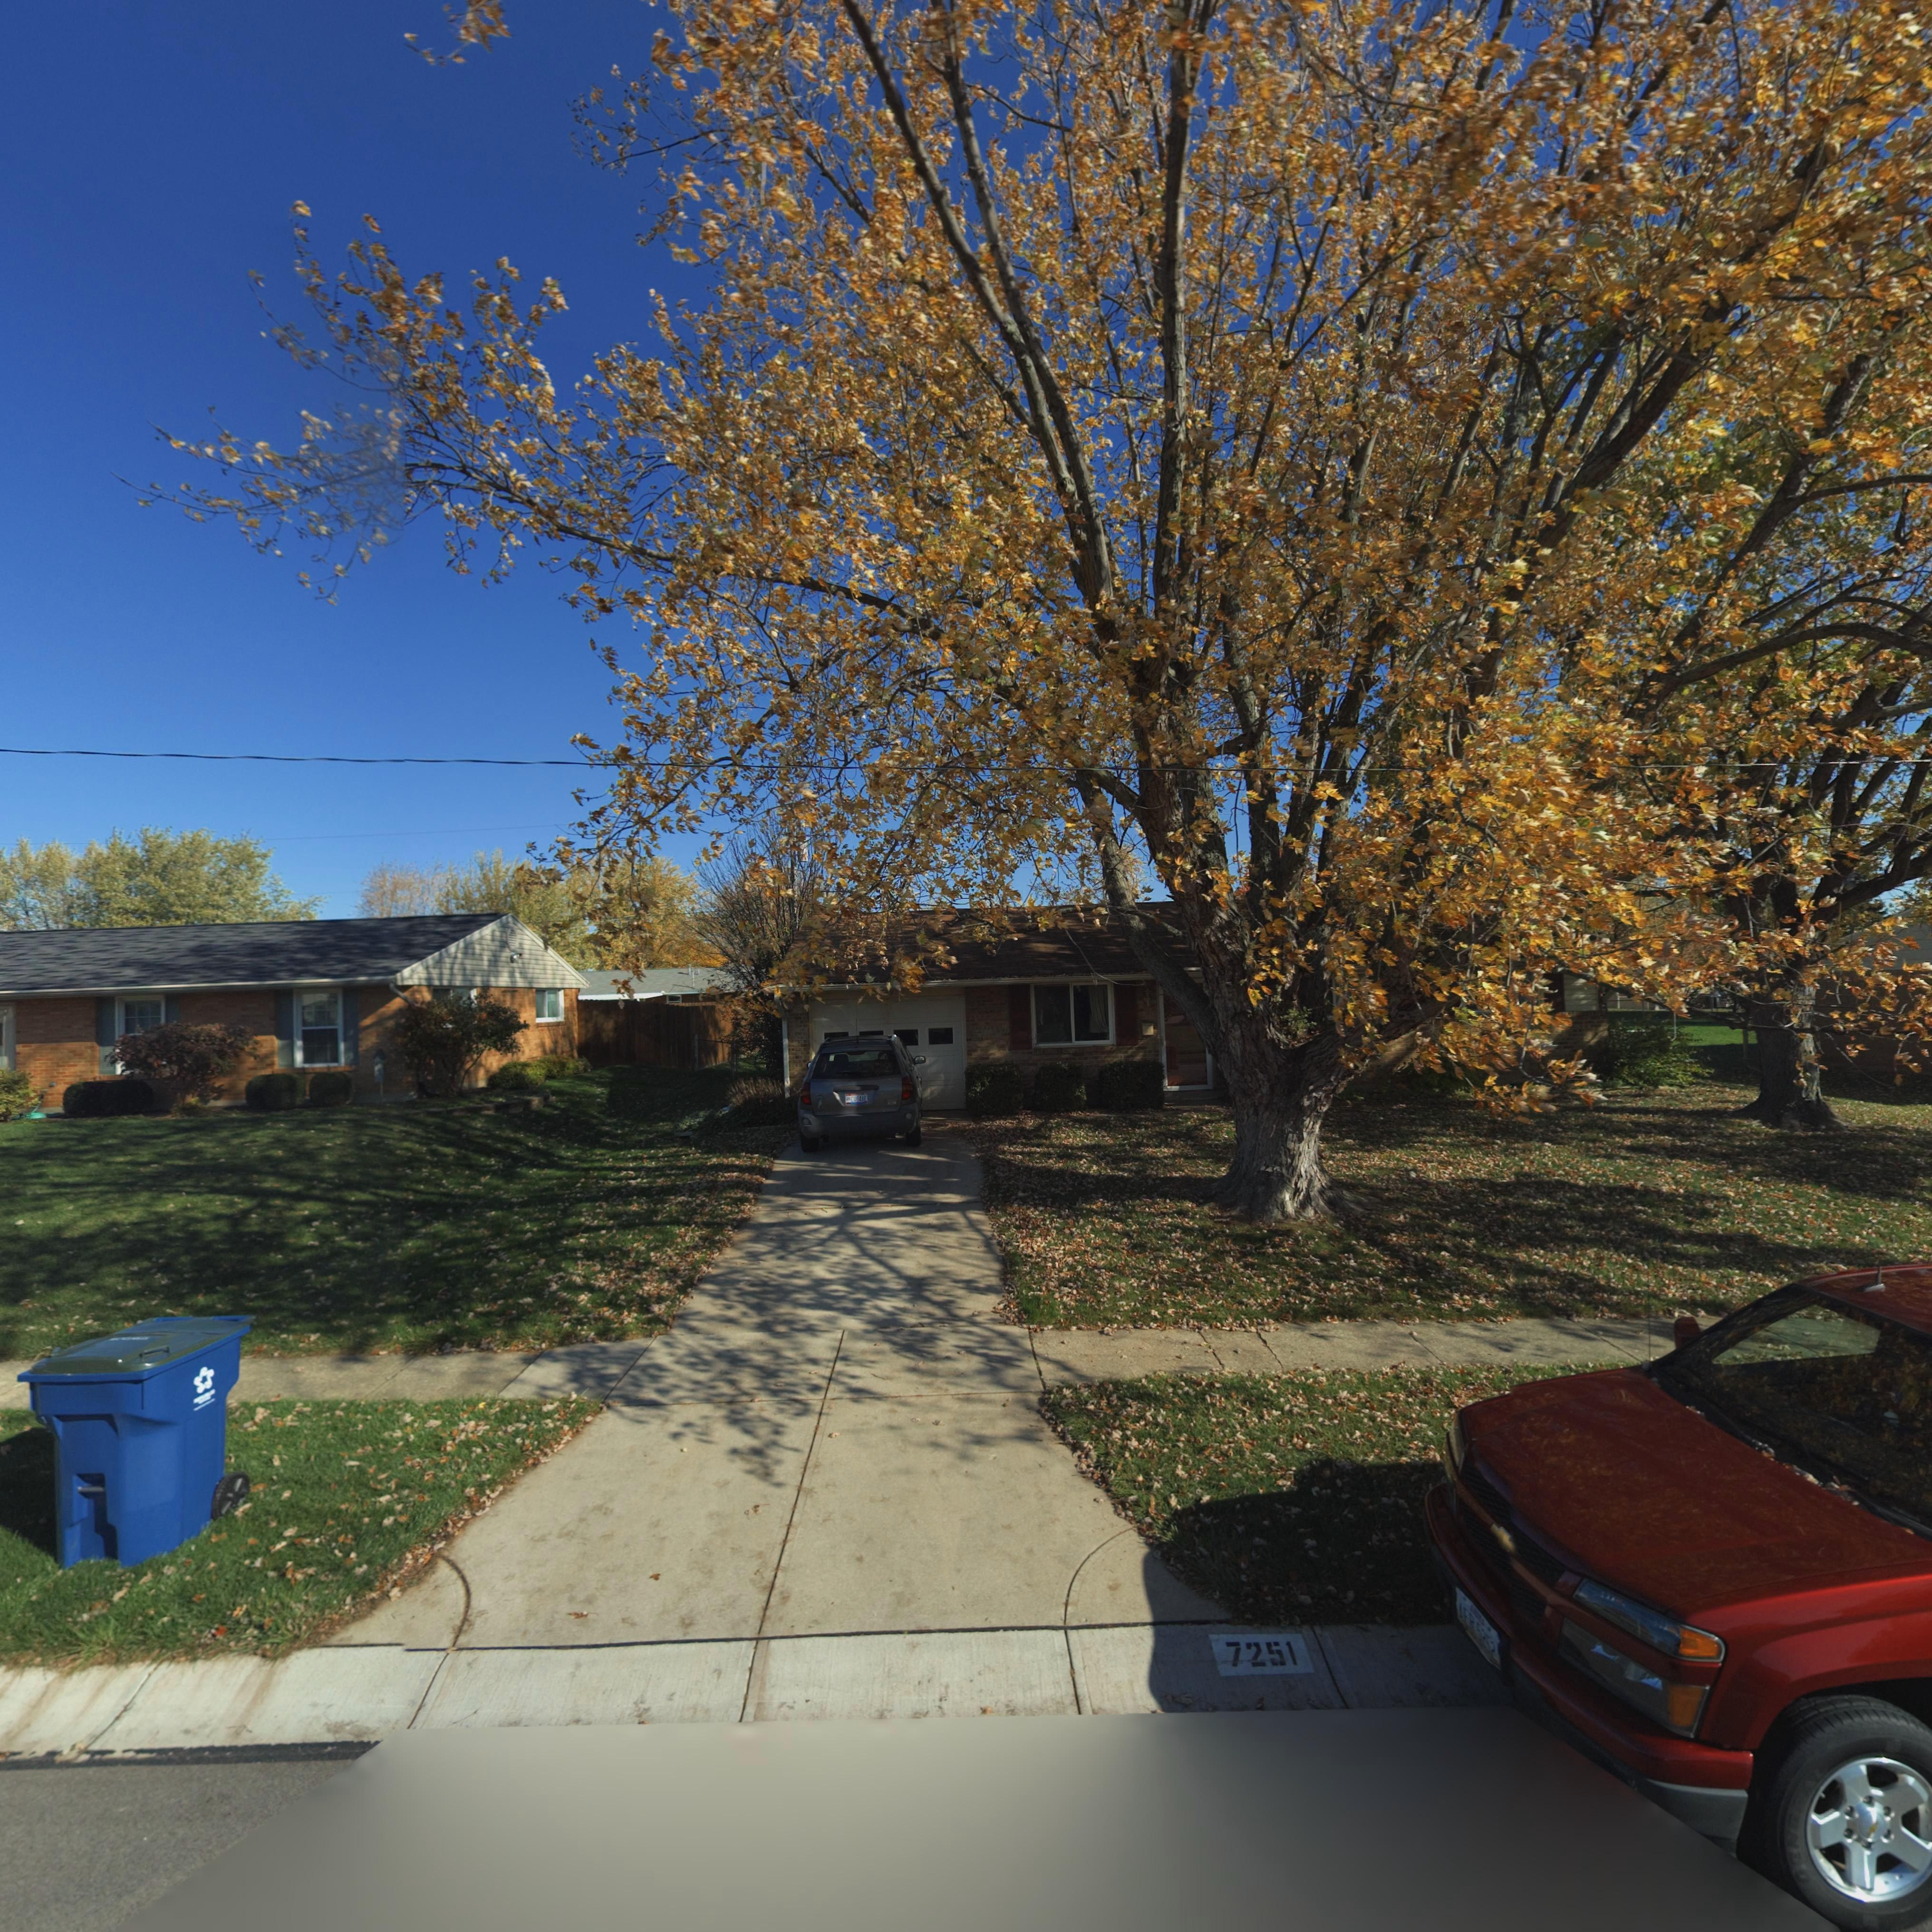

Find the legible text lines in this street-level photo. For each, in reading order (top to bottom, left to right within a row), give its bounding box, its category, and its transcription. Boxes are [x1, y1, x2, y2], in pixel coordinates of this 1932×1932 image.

[1224, 1639, 1300, 1669] StreetNumber: 7251